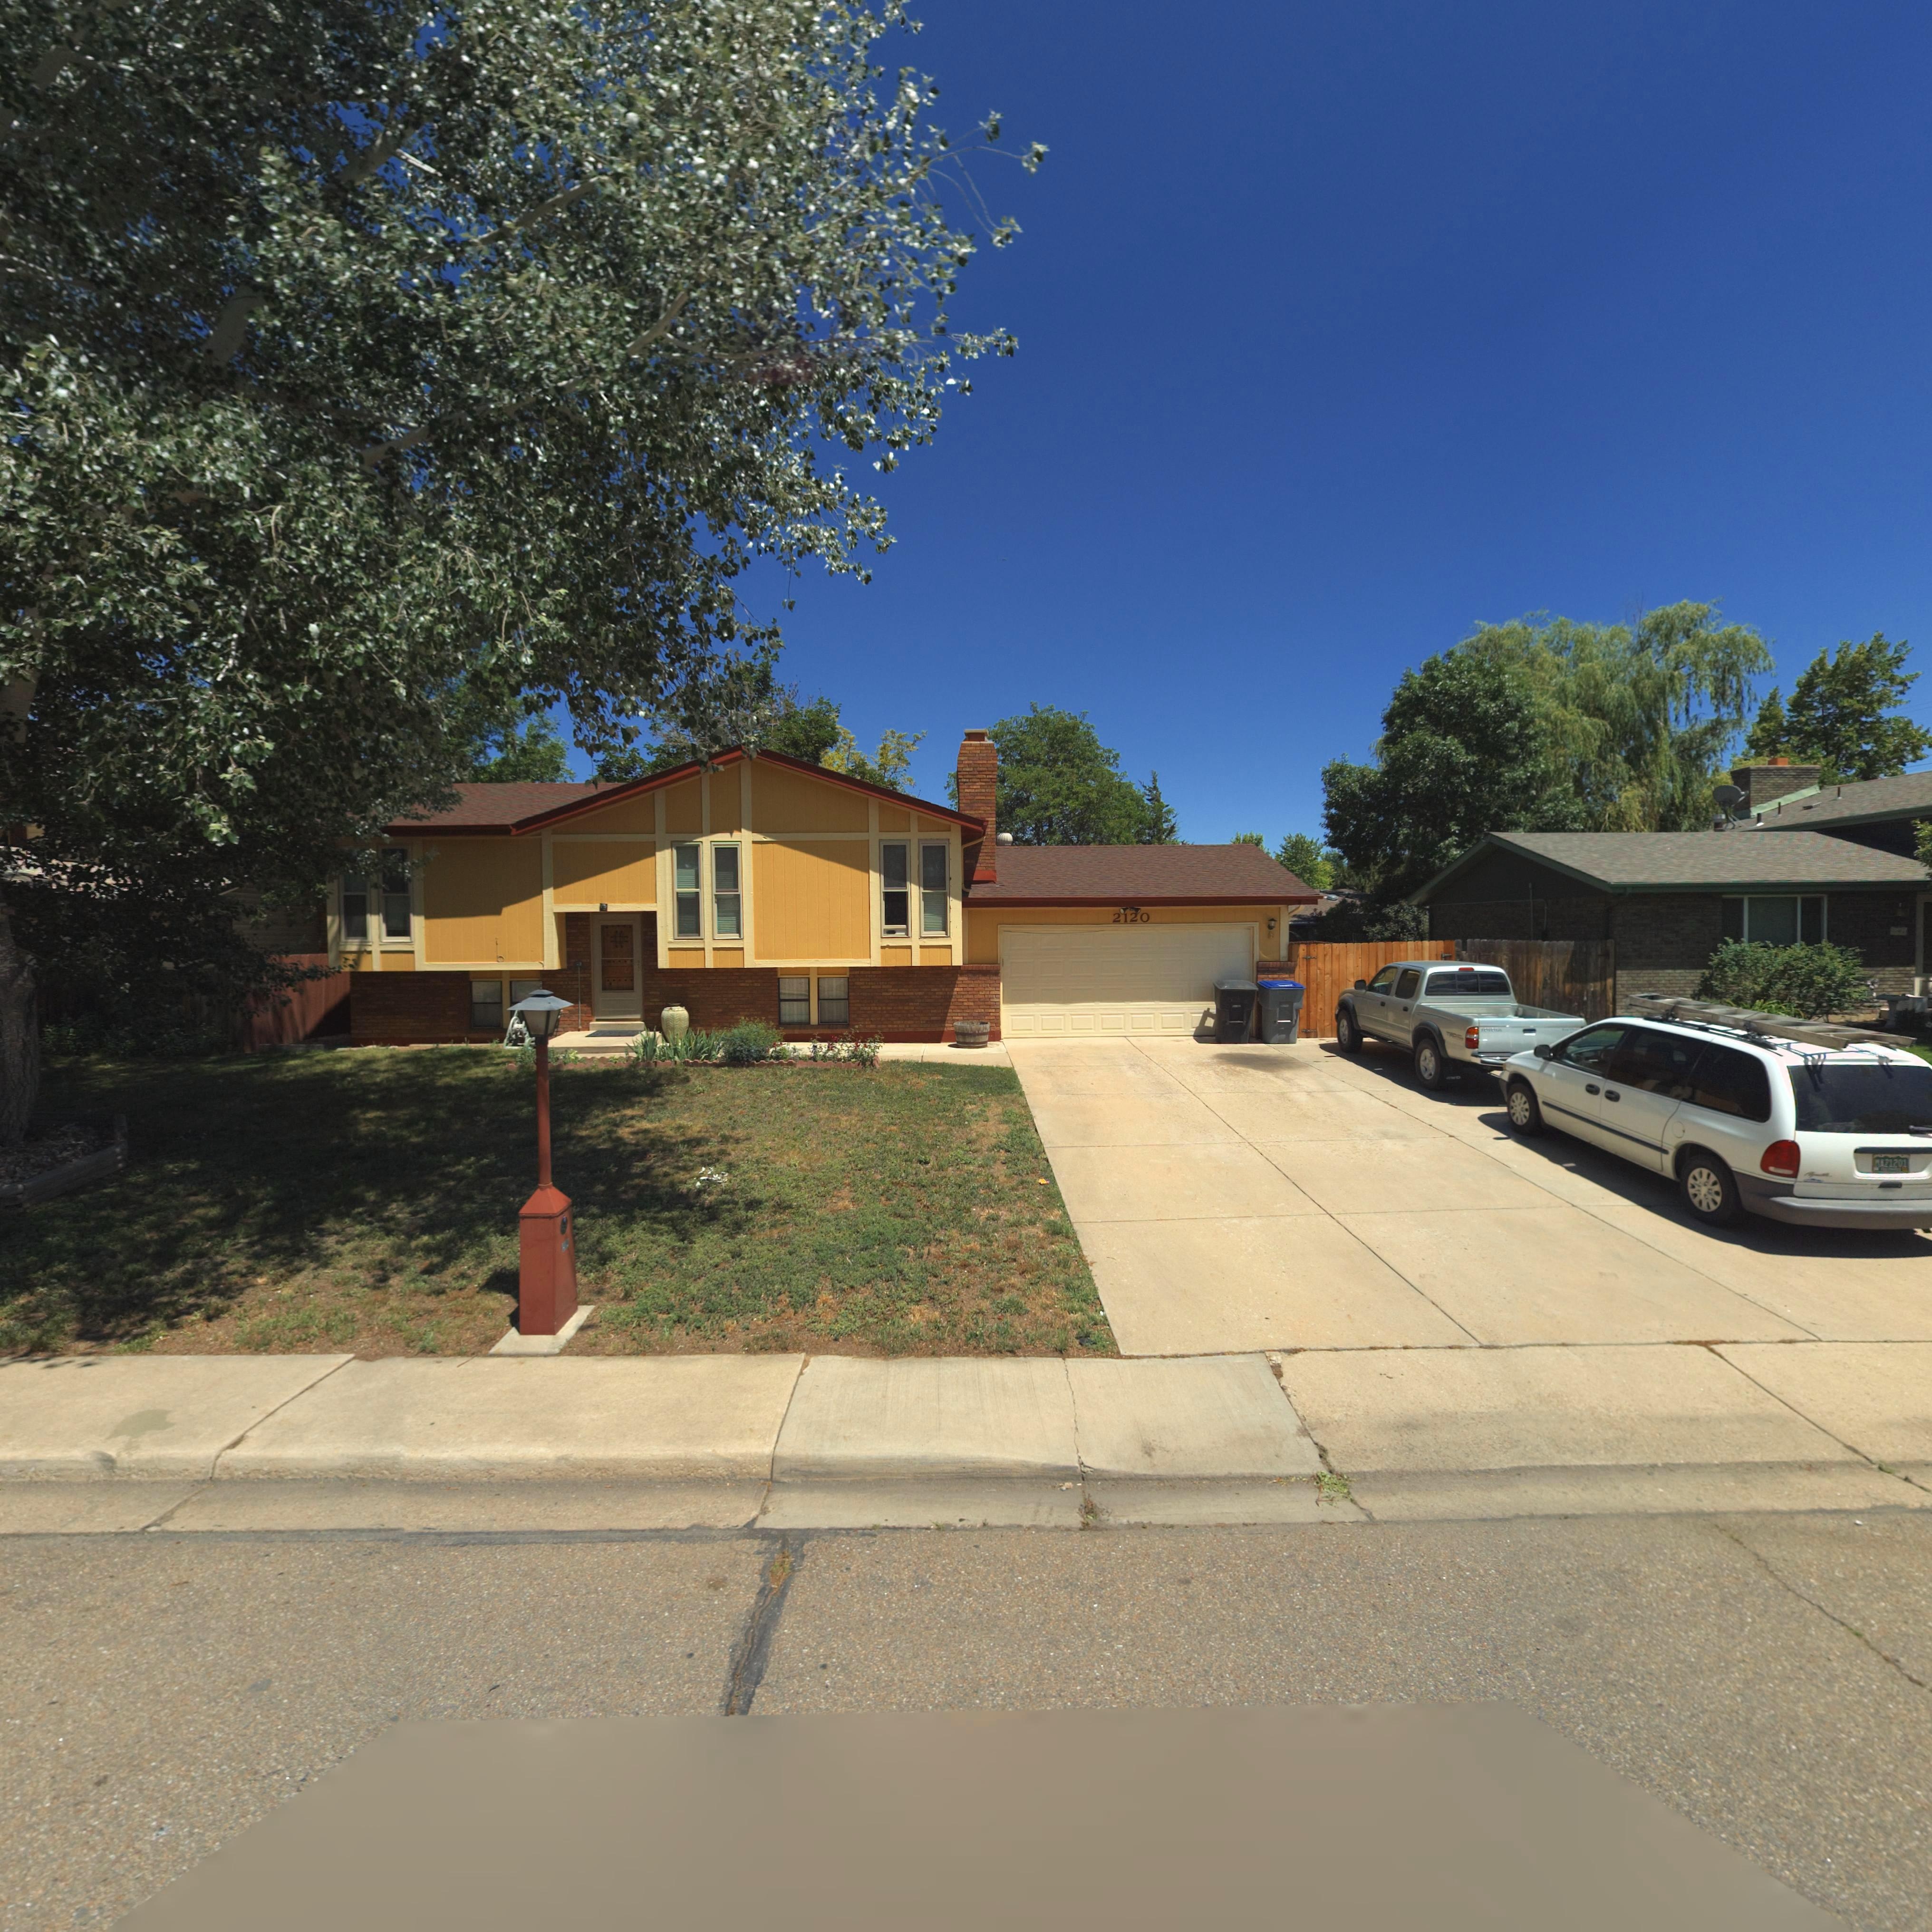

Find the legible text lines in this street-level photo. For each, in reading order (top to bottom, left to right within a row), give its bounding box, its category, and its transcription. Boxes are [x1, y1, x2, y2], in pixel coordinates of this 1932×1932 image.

[1111, 911, 1150, 923] StreetNumber: 2120